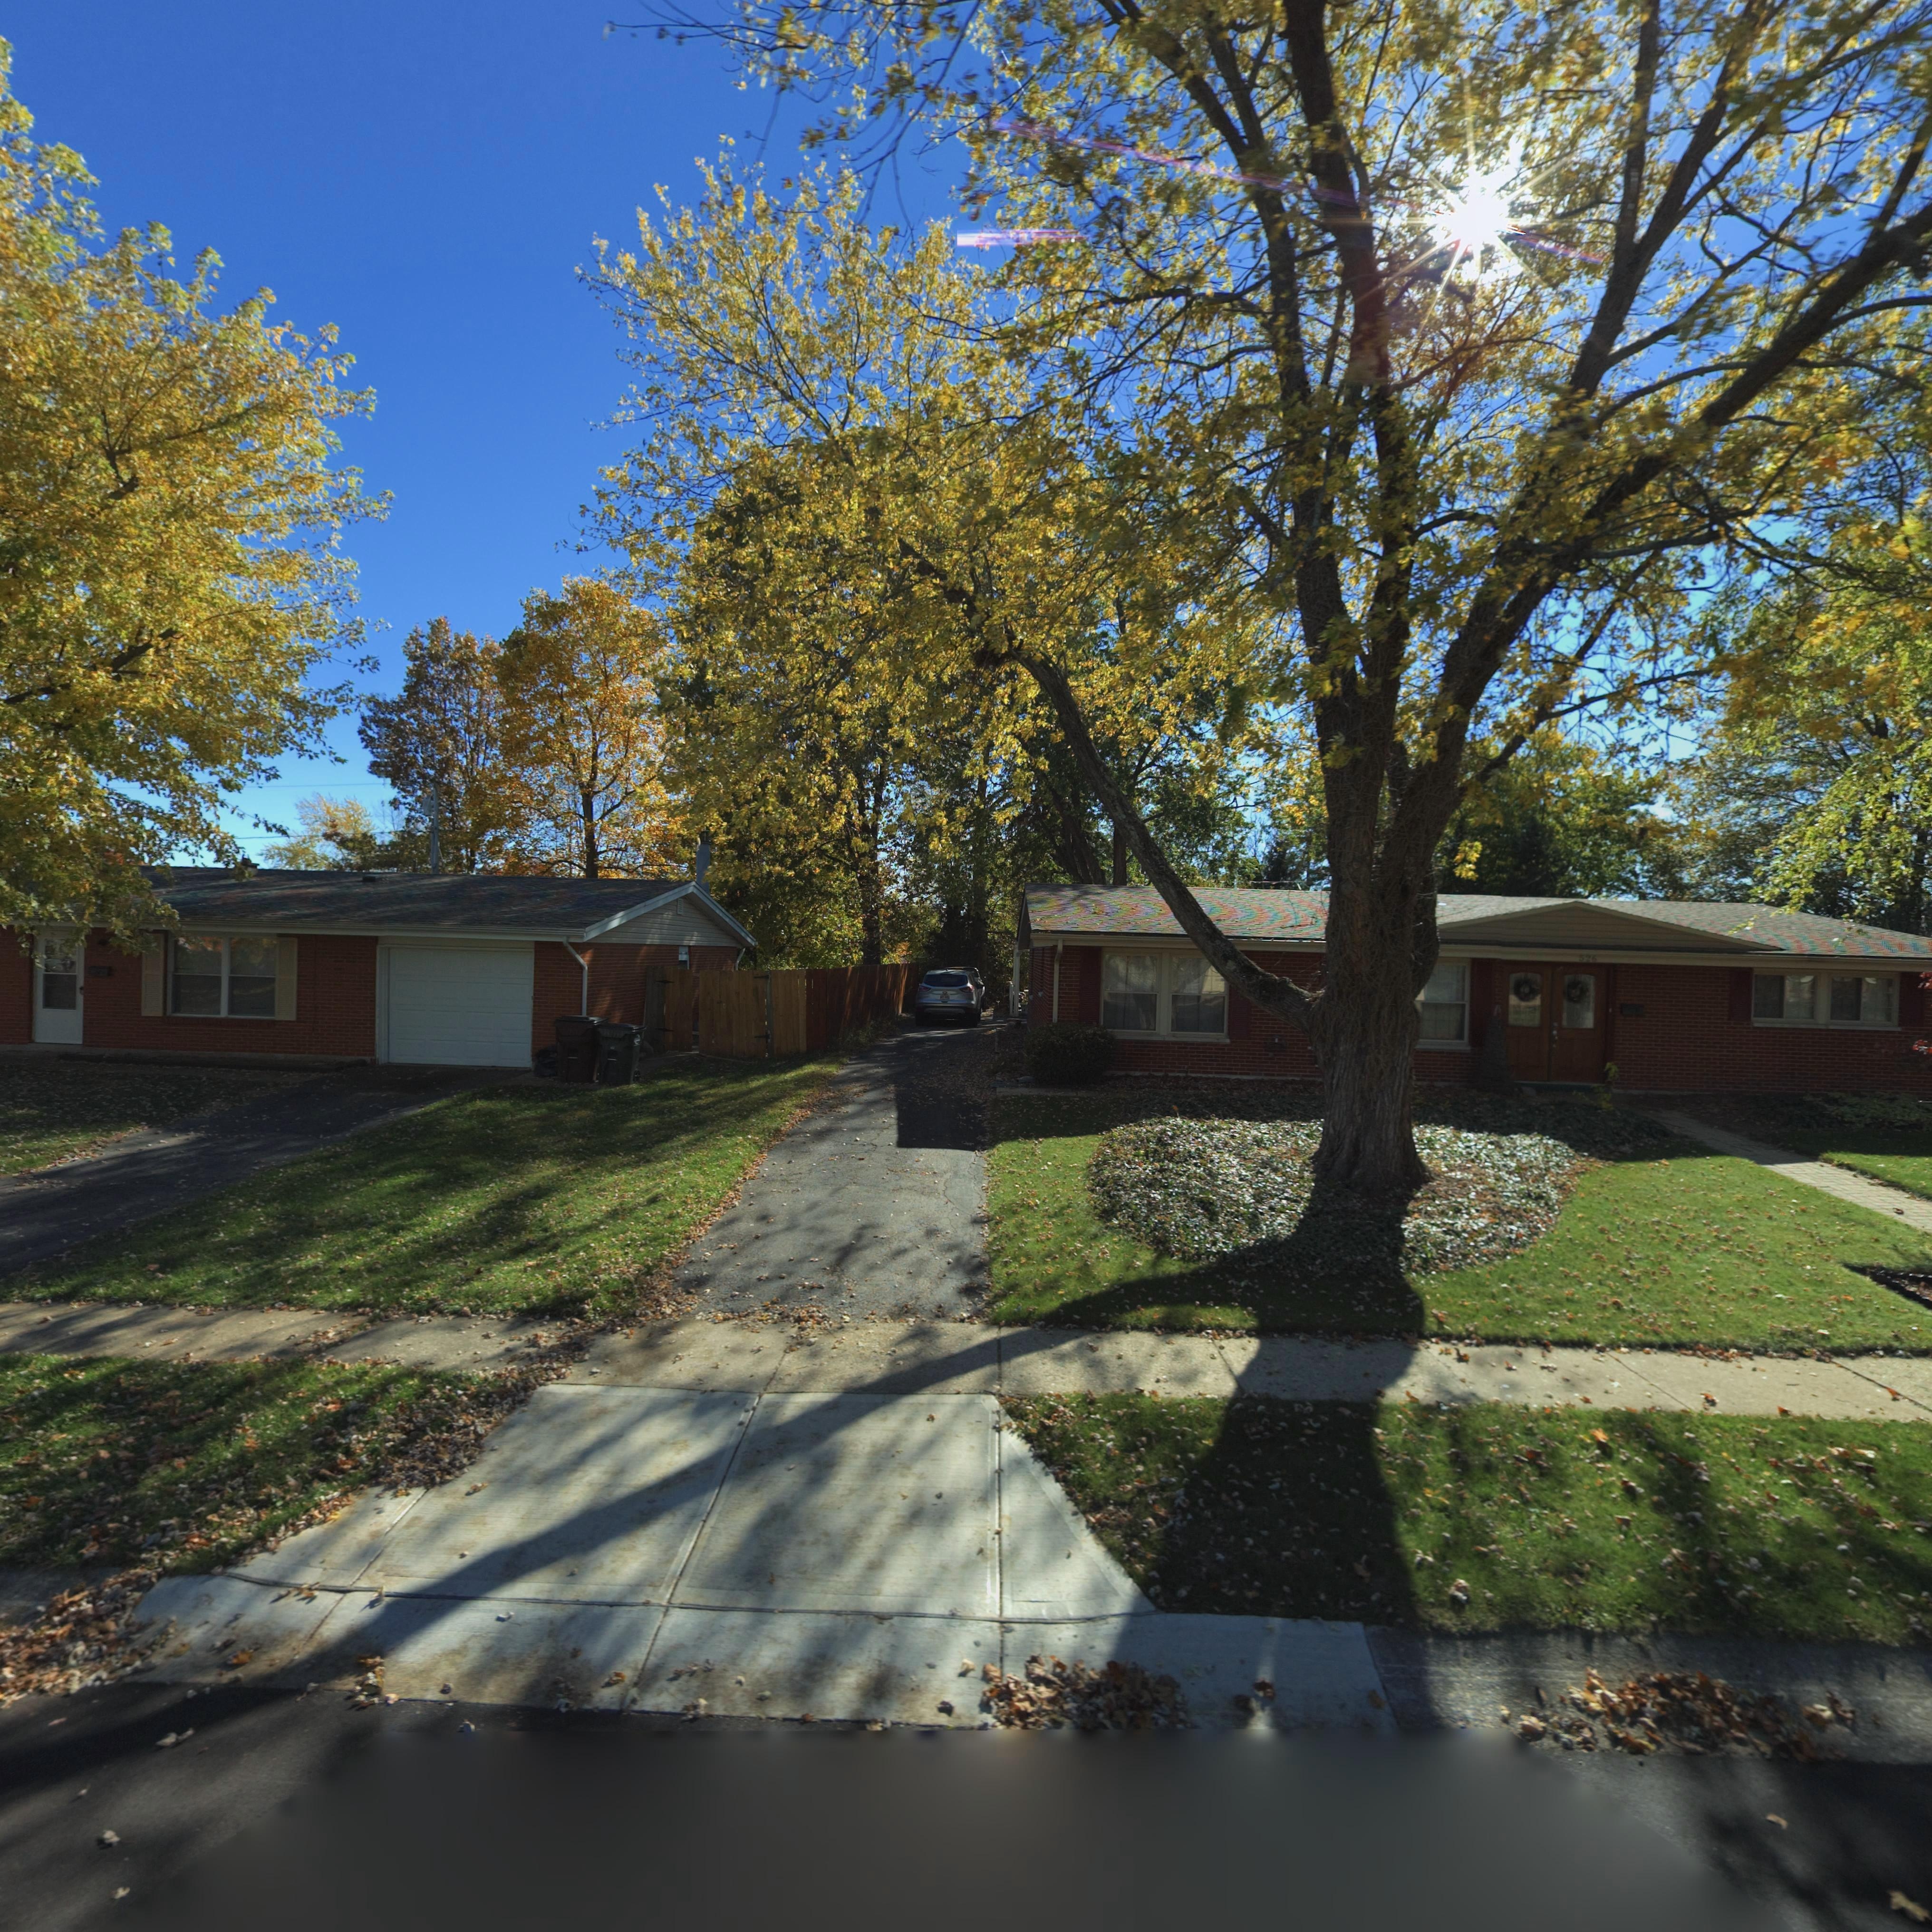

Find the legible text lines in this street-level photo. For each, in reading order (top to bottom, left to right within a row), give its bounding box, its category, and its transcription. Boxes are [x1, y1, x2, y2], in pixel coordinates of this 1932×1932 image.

[1578, 953, 1599, 963] StreetNumber: 526